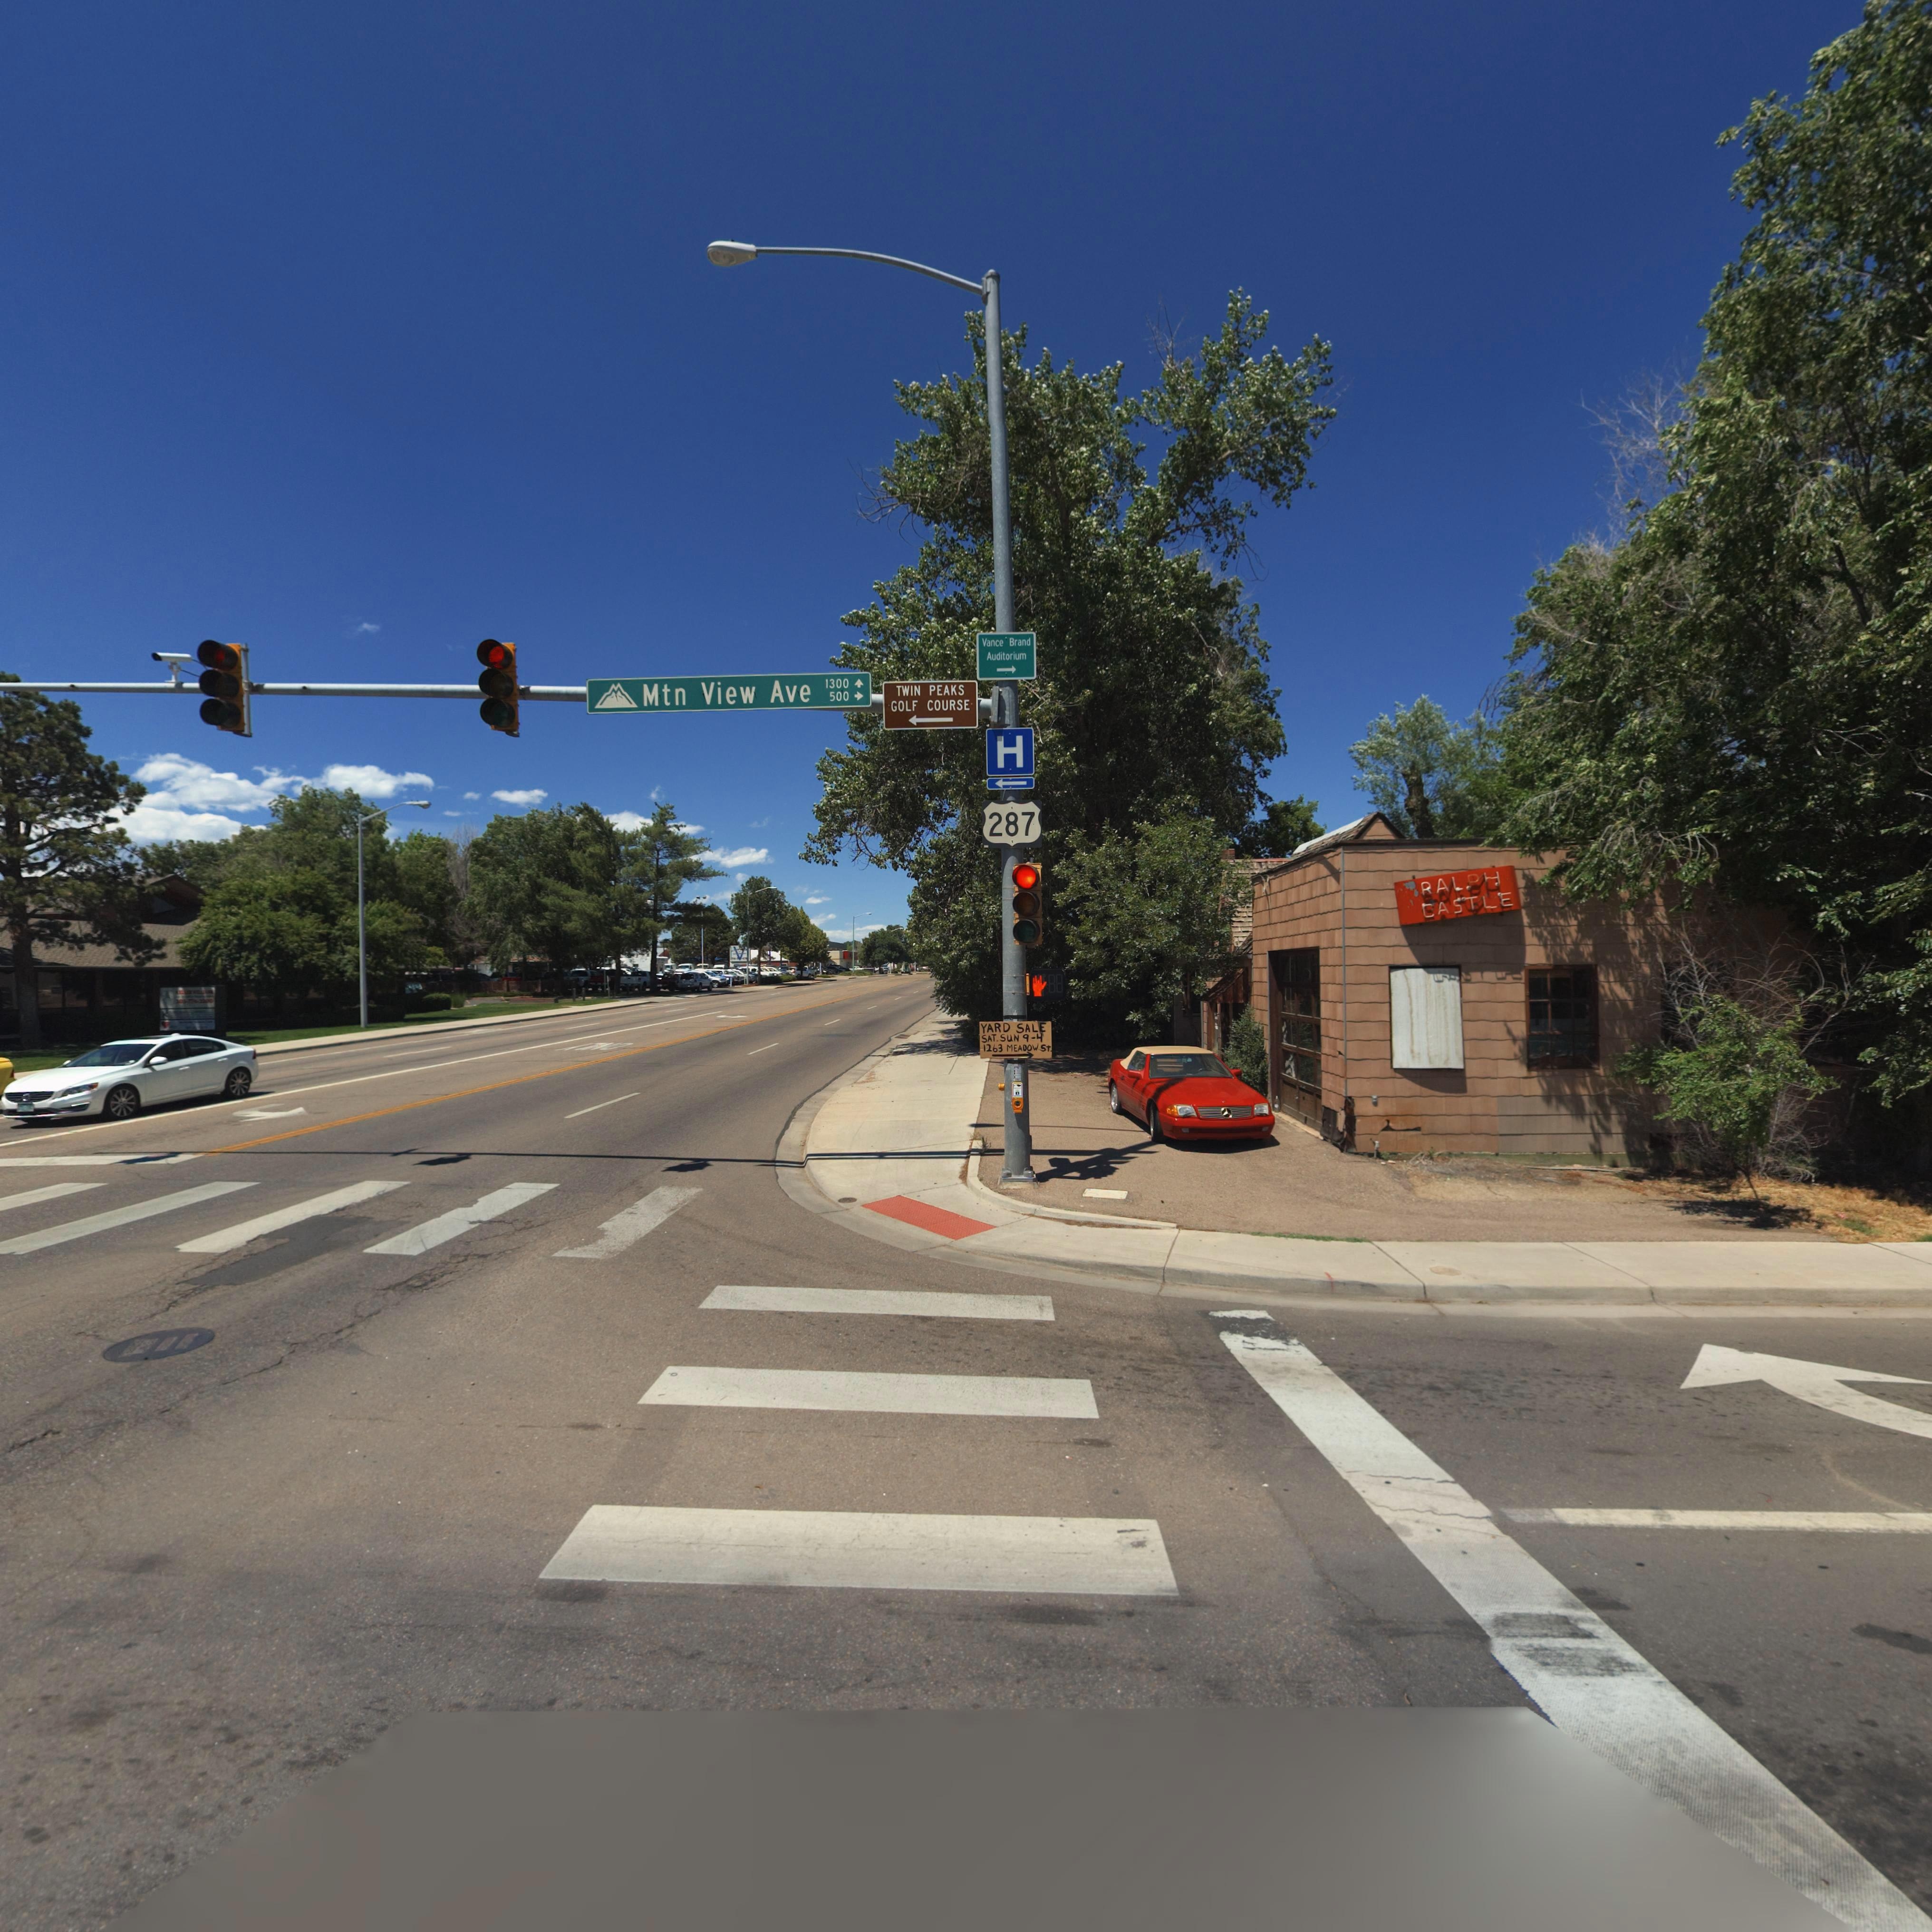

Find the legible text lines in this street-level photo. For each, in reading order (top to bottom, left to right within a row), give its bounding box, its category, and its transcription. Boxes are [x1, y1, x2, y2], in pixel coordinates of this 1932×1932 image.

[642, 679, 811, 706] StreetName: Mtn View Ave
[825, 678, 849, 689] StreetNumberRange: 1300
[829, 690, 864, 702] StreetNumberRange: 500 ->
[1420, 870, 1501, 896] BusinessName: RALPH
[1421, 891, 1514, 918] BusinessName: CASTLE
[175, 989, 213, 994] BusinessName: KELLER WILLIAMS